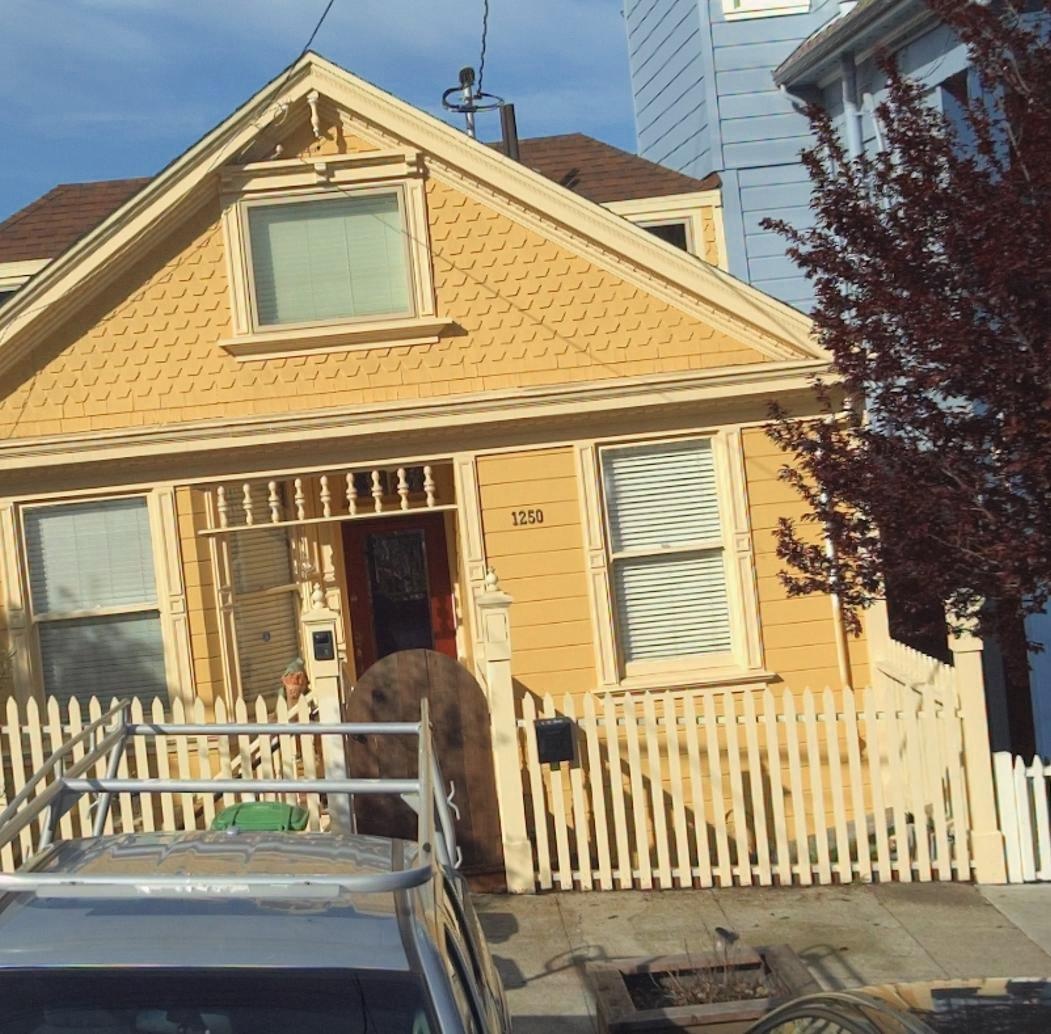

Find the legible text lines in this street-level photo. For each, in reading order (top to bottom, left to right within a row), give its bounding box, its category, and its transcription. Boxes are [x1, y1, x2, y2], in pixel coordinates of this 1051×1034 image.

[510, 507, 545, 528] StreetNumber: 1250